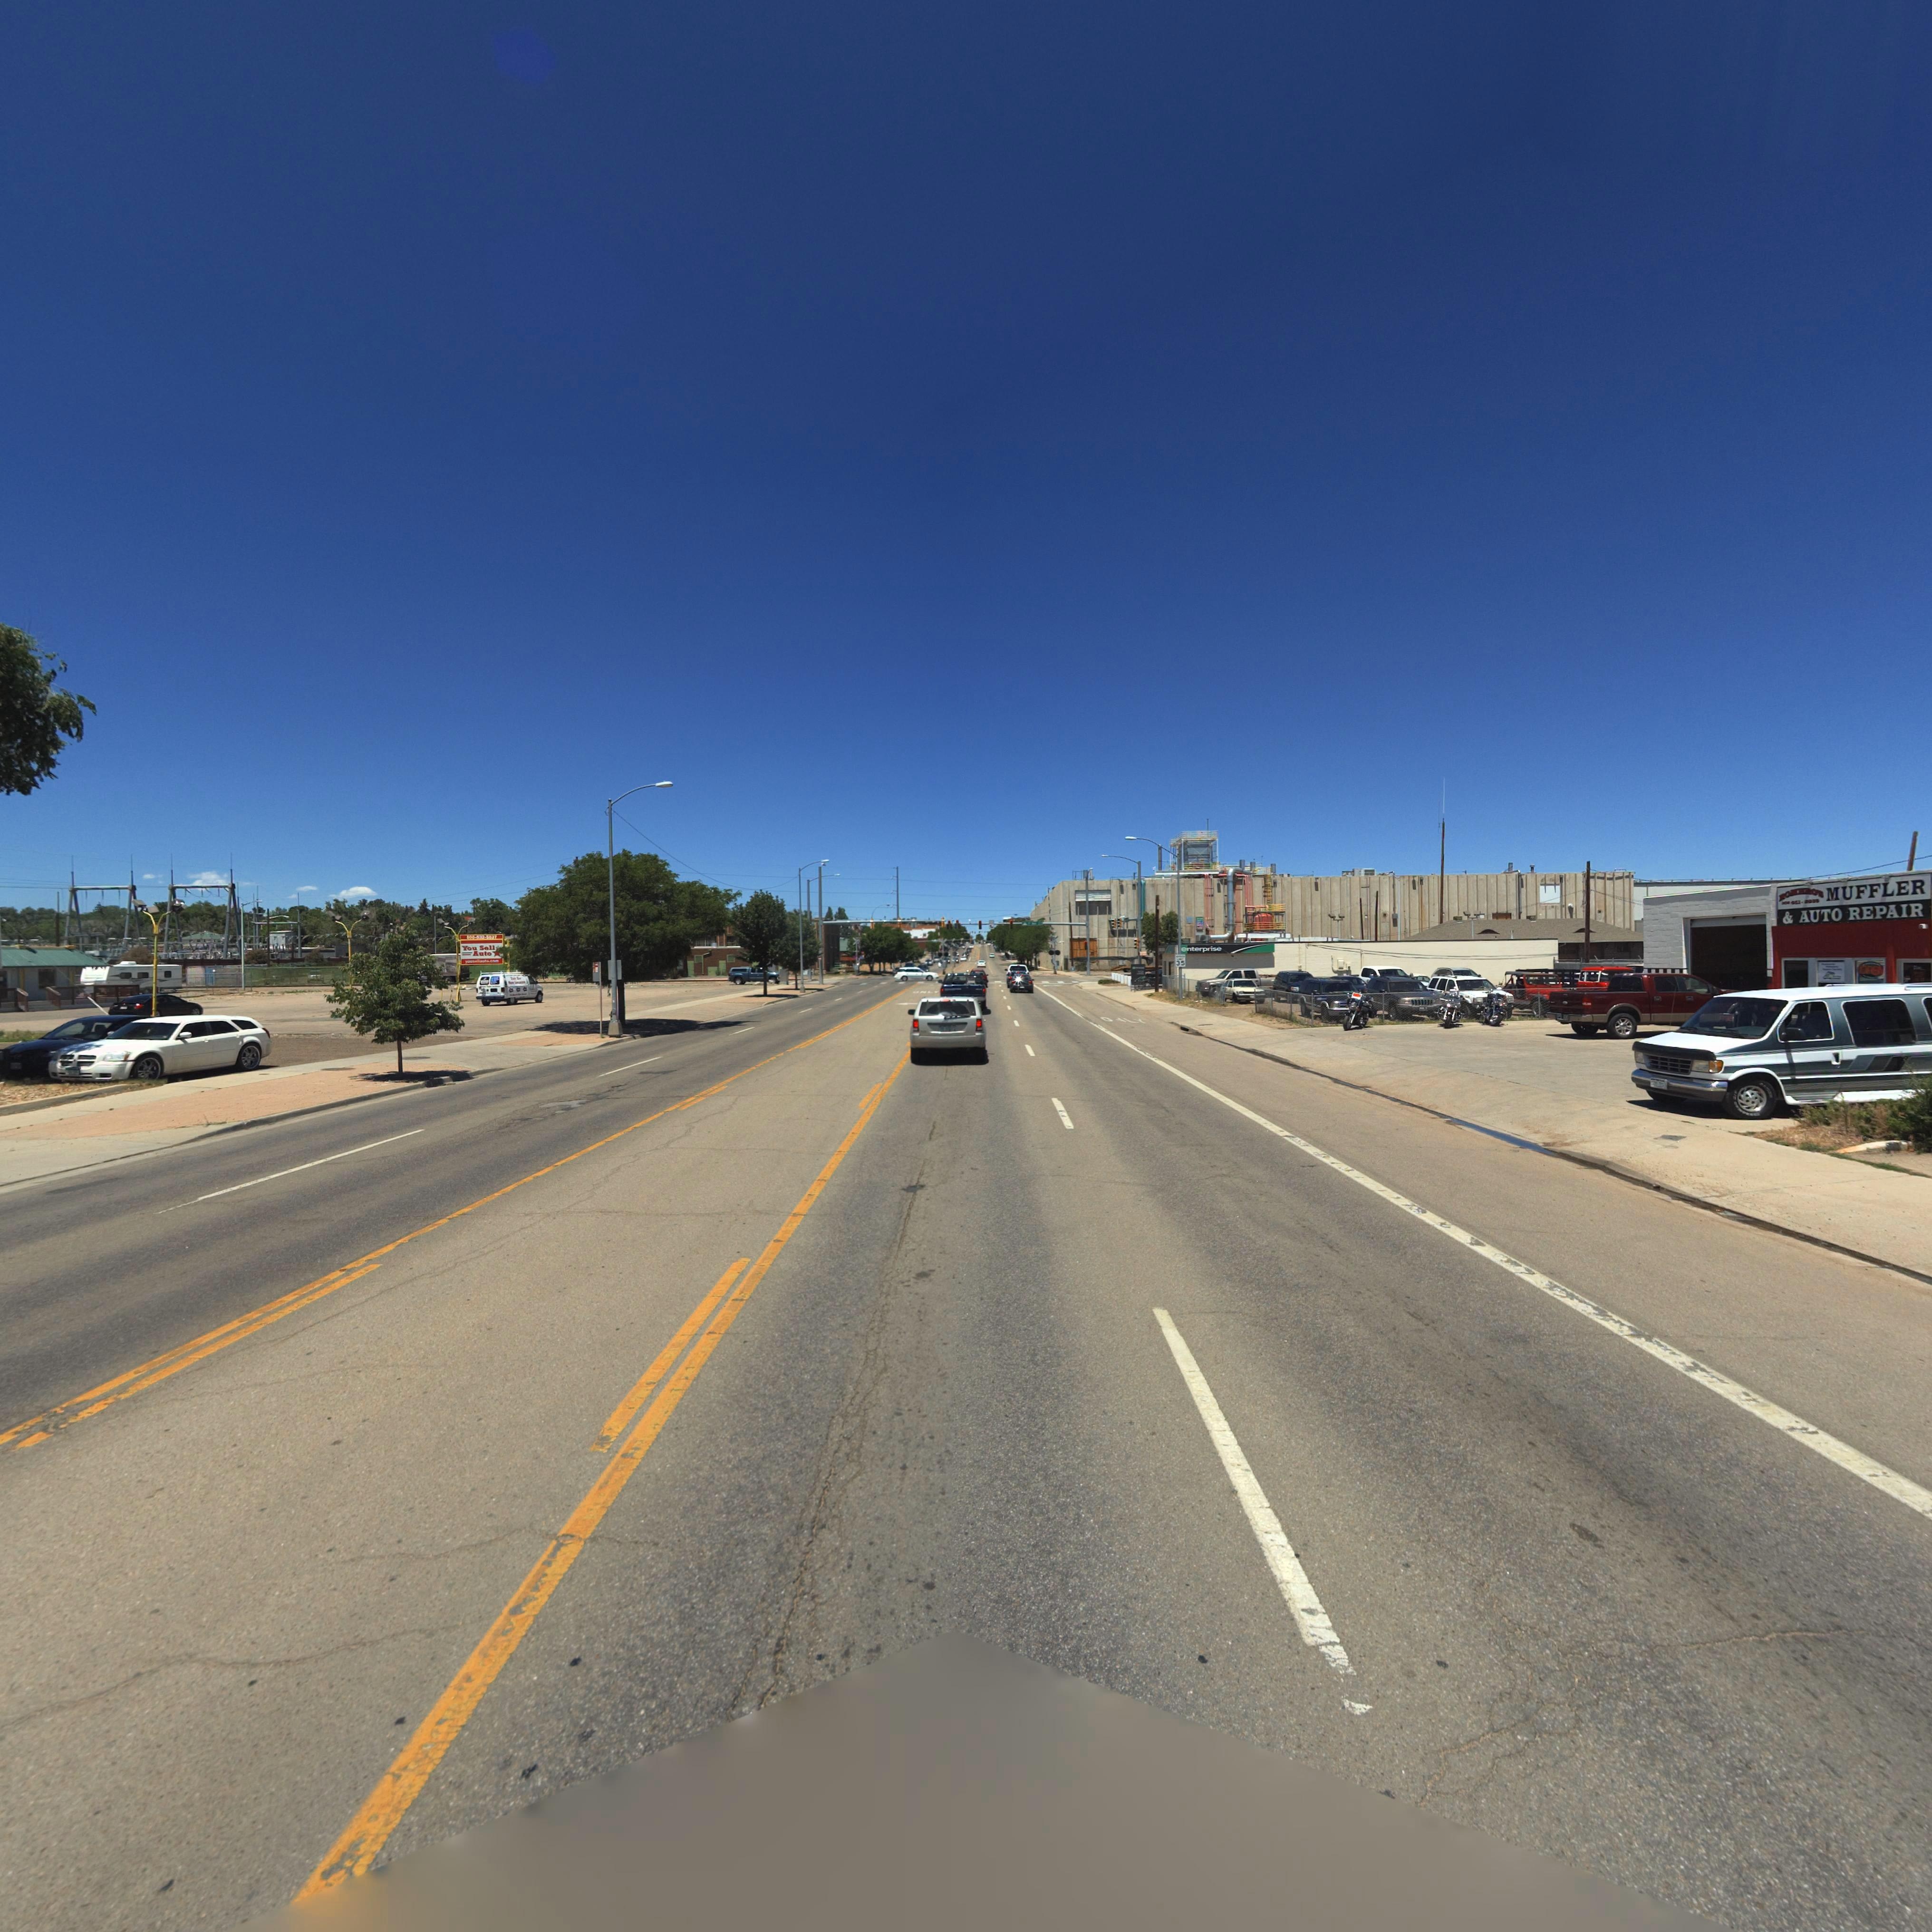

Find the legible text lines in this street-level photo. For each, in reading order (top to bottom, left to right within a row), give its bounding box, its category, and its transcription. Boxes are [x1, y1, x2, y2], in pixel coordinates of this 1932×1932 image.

[1778, 887, 1824, 902] BusinessName: *O*****
[1825, 879, 1927, 902] BusinessName: MUFFLER
[1781, 902, 1924, 925] BusinessName: & AUTO REPAIR
[1180, 946, 1222, 953] BusinessName: enterprise